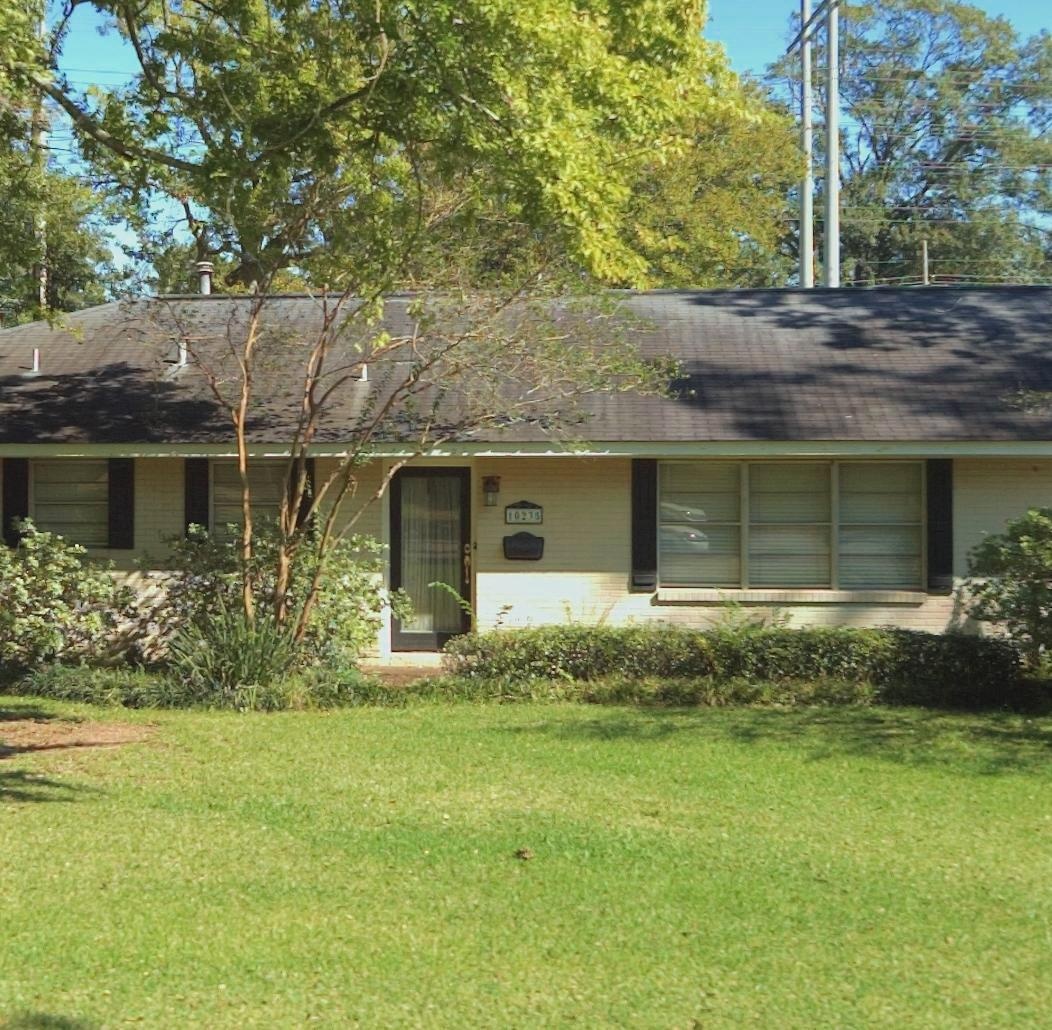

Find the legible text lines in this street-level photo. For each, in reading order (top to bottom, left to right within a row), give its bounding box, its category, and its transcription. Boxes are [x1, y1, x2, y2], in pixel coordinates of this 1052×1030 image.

[507, 509, 542, 522] StreetNumber: 1023*